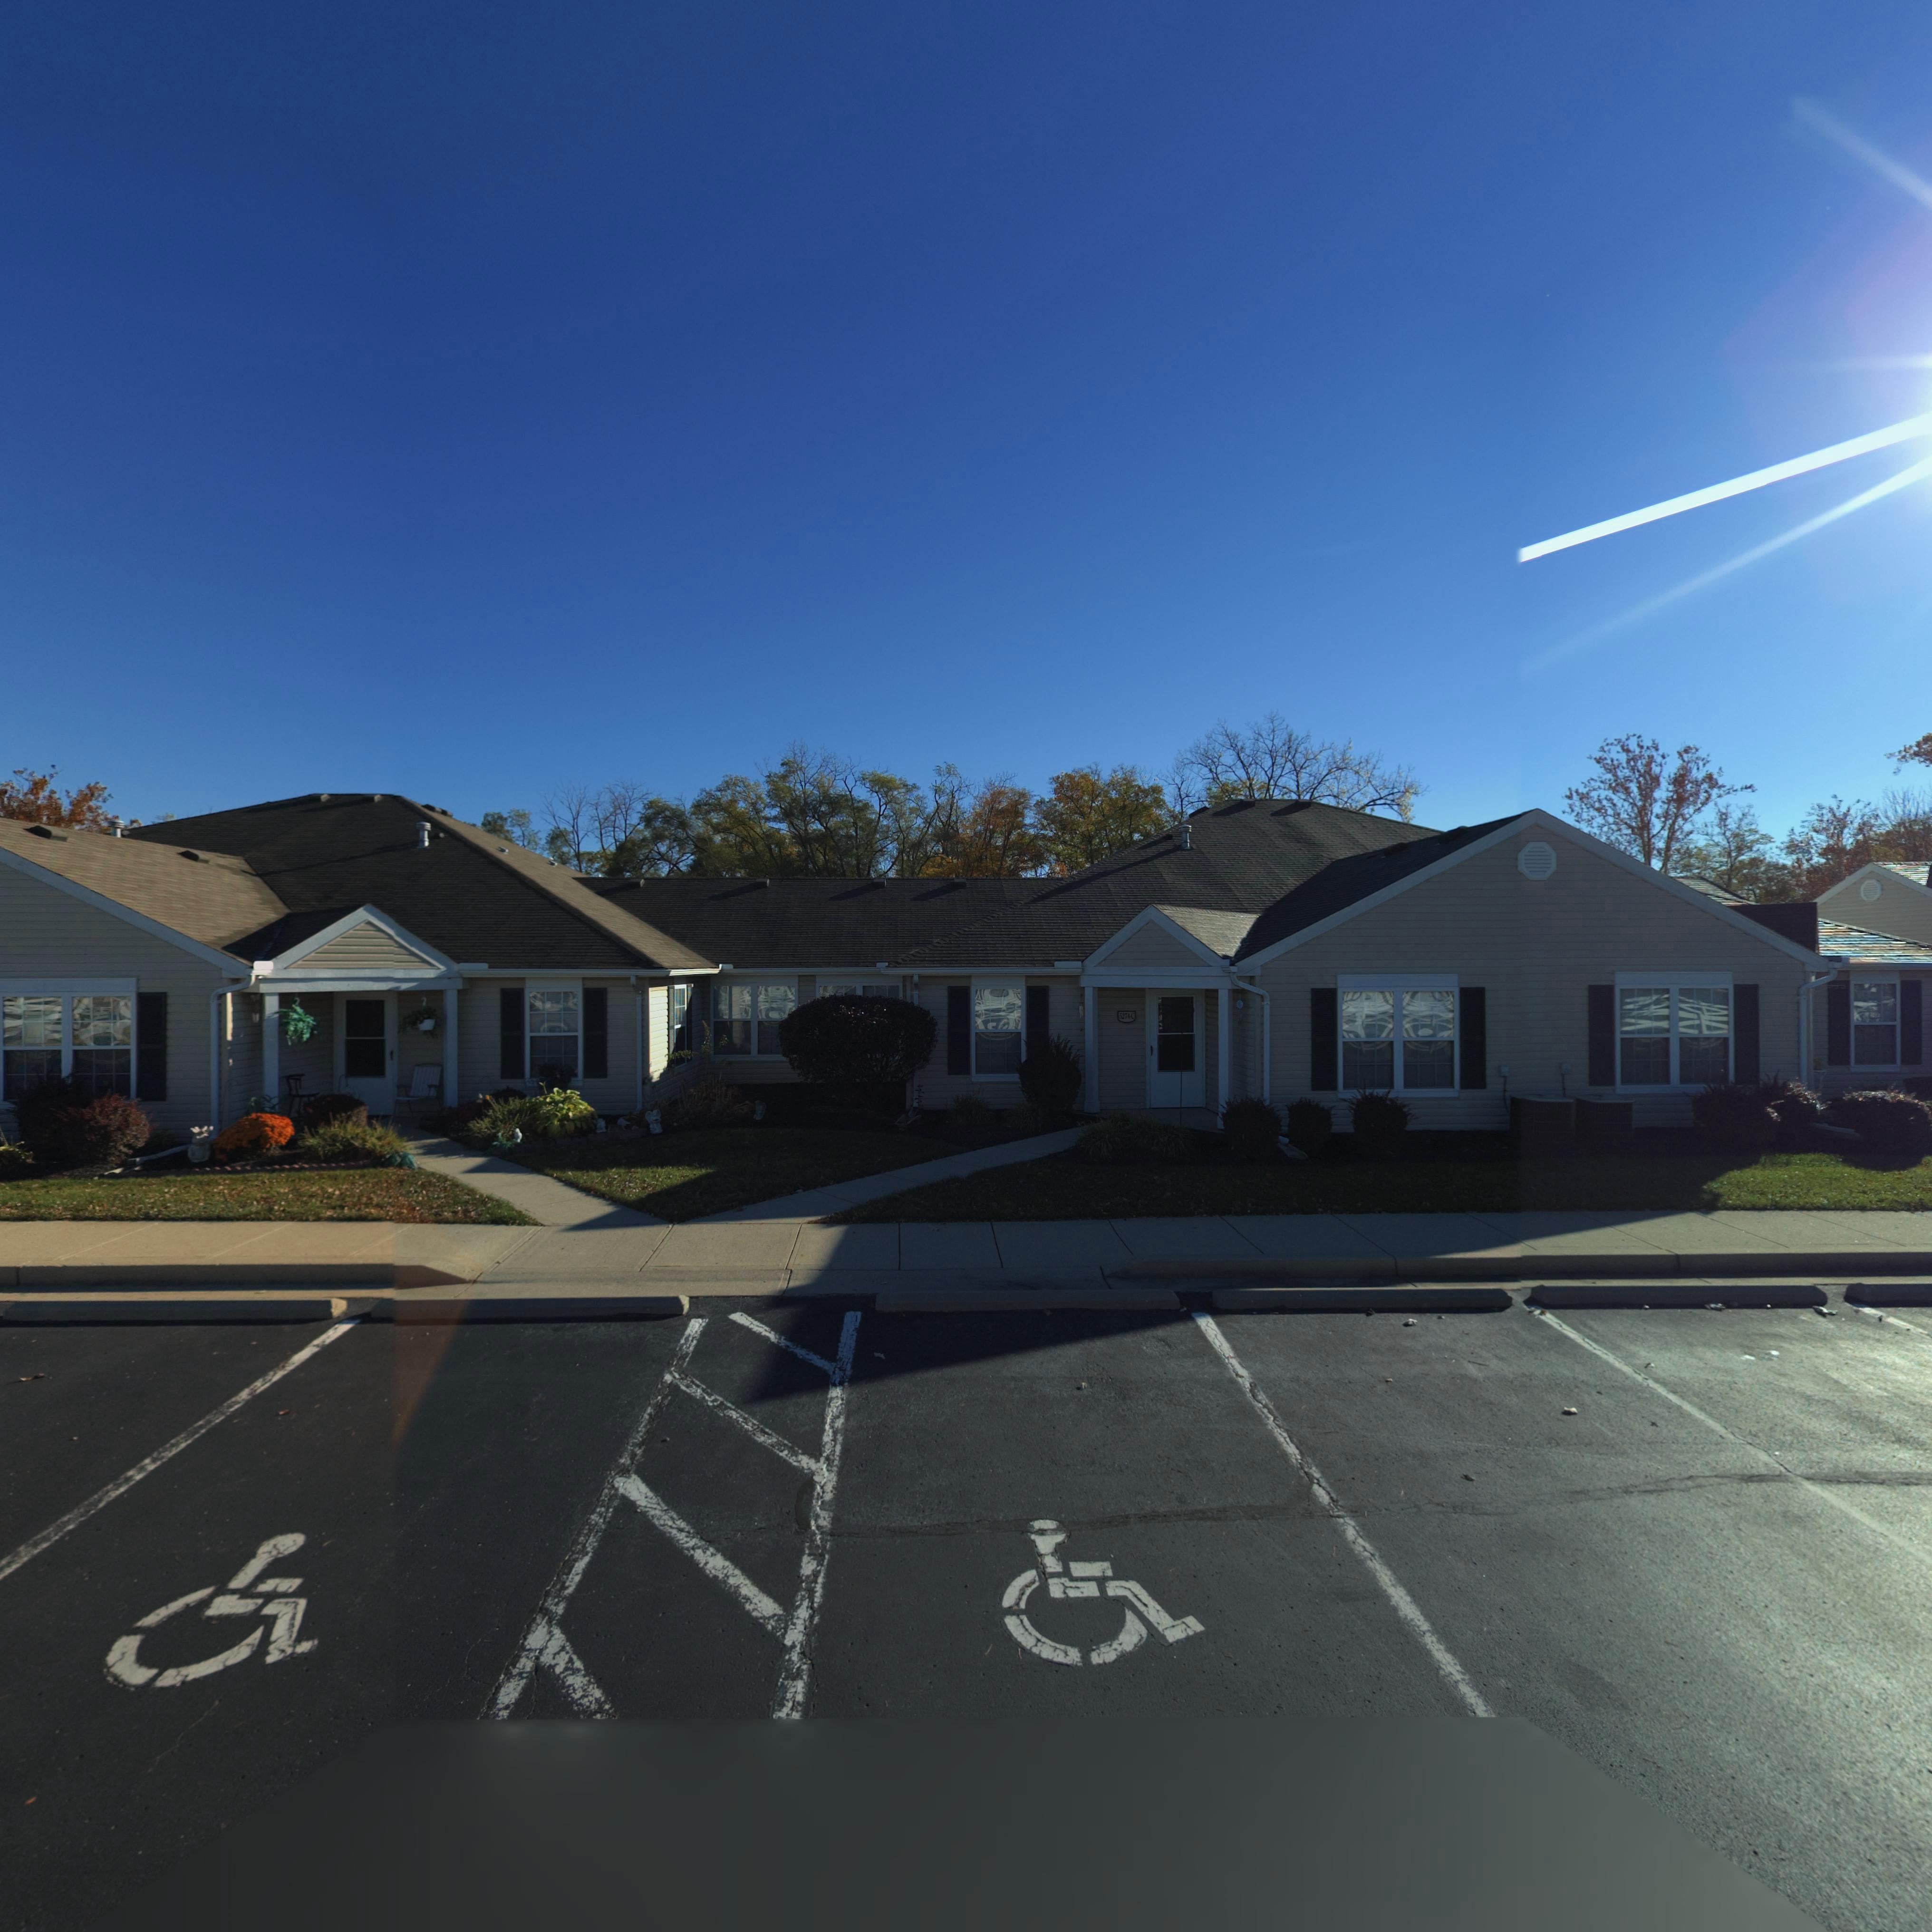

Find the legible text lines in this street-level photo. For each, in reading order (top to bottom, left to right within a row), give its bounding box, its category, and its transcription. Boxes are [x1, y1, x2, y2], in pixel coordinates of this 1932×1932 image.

[1119, 1012, 1135, 1020] StreetNumber: 5274-C